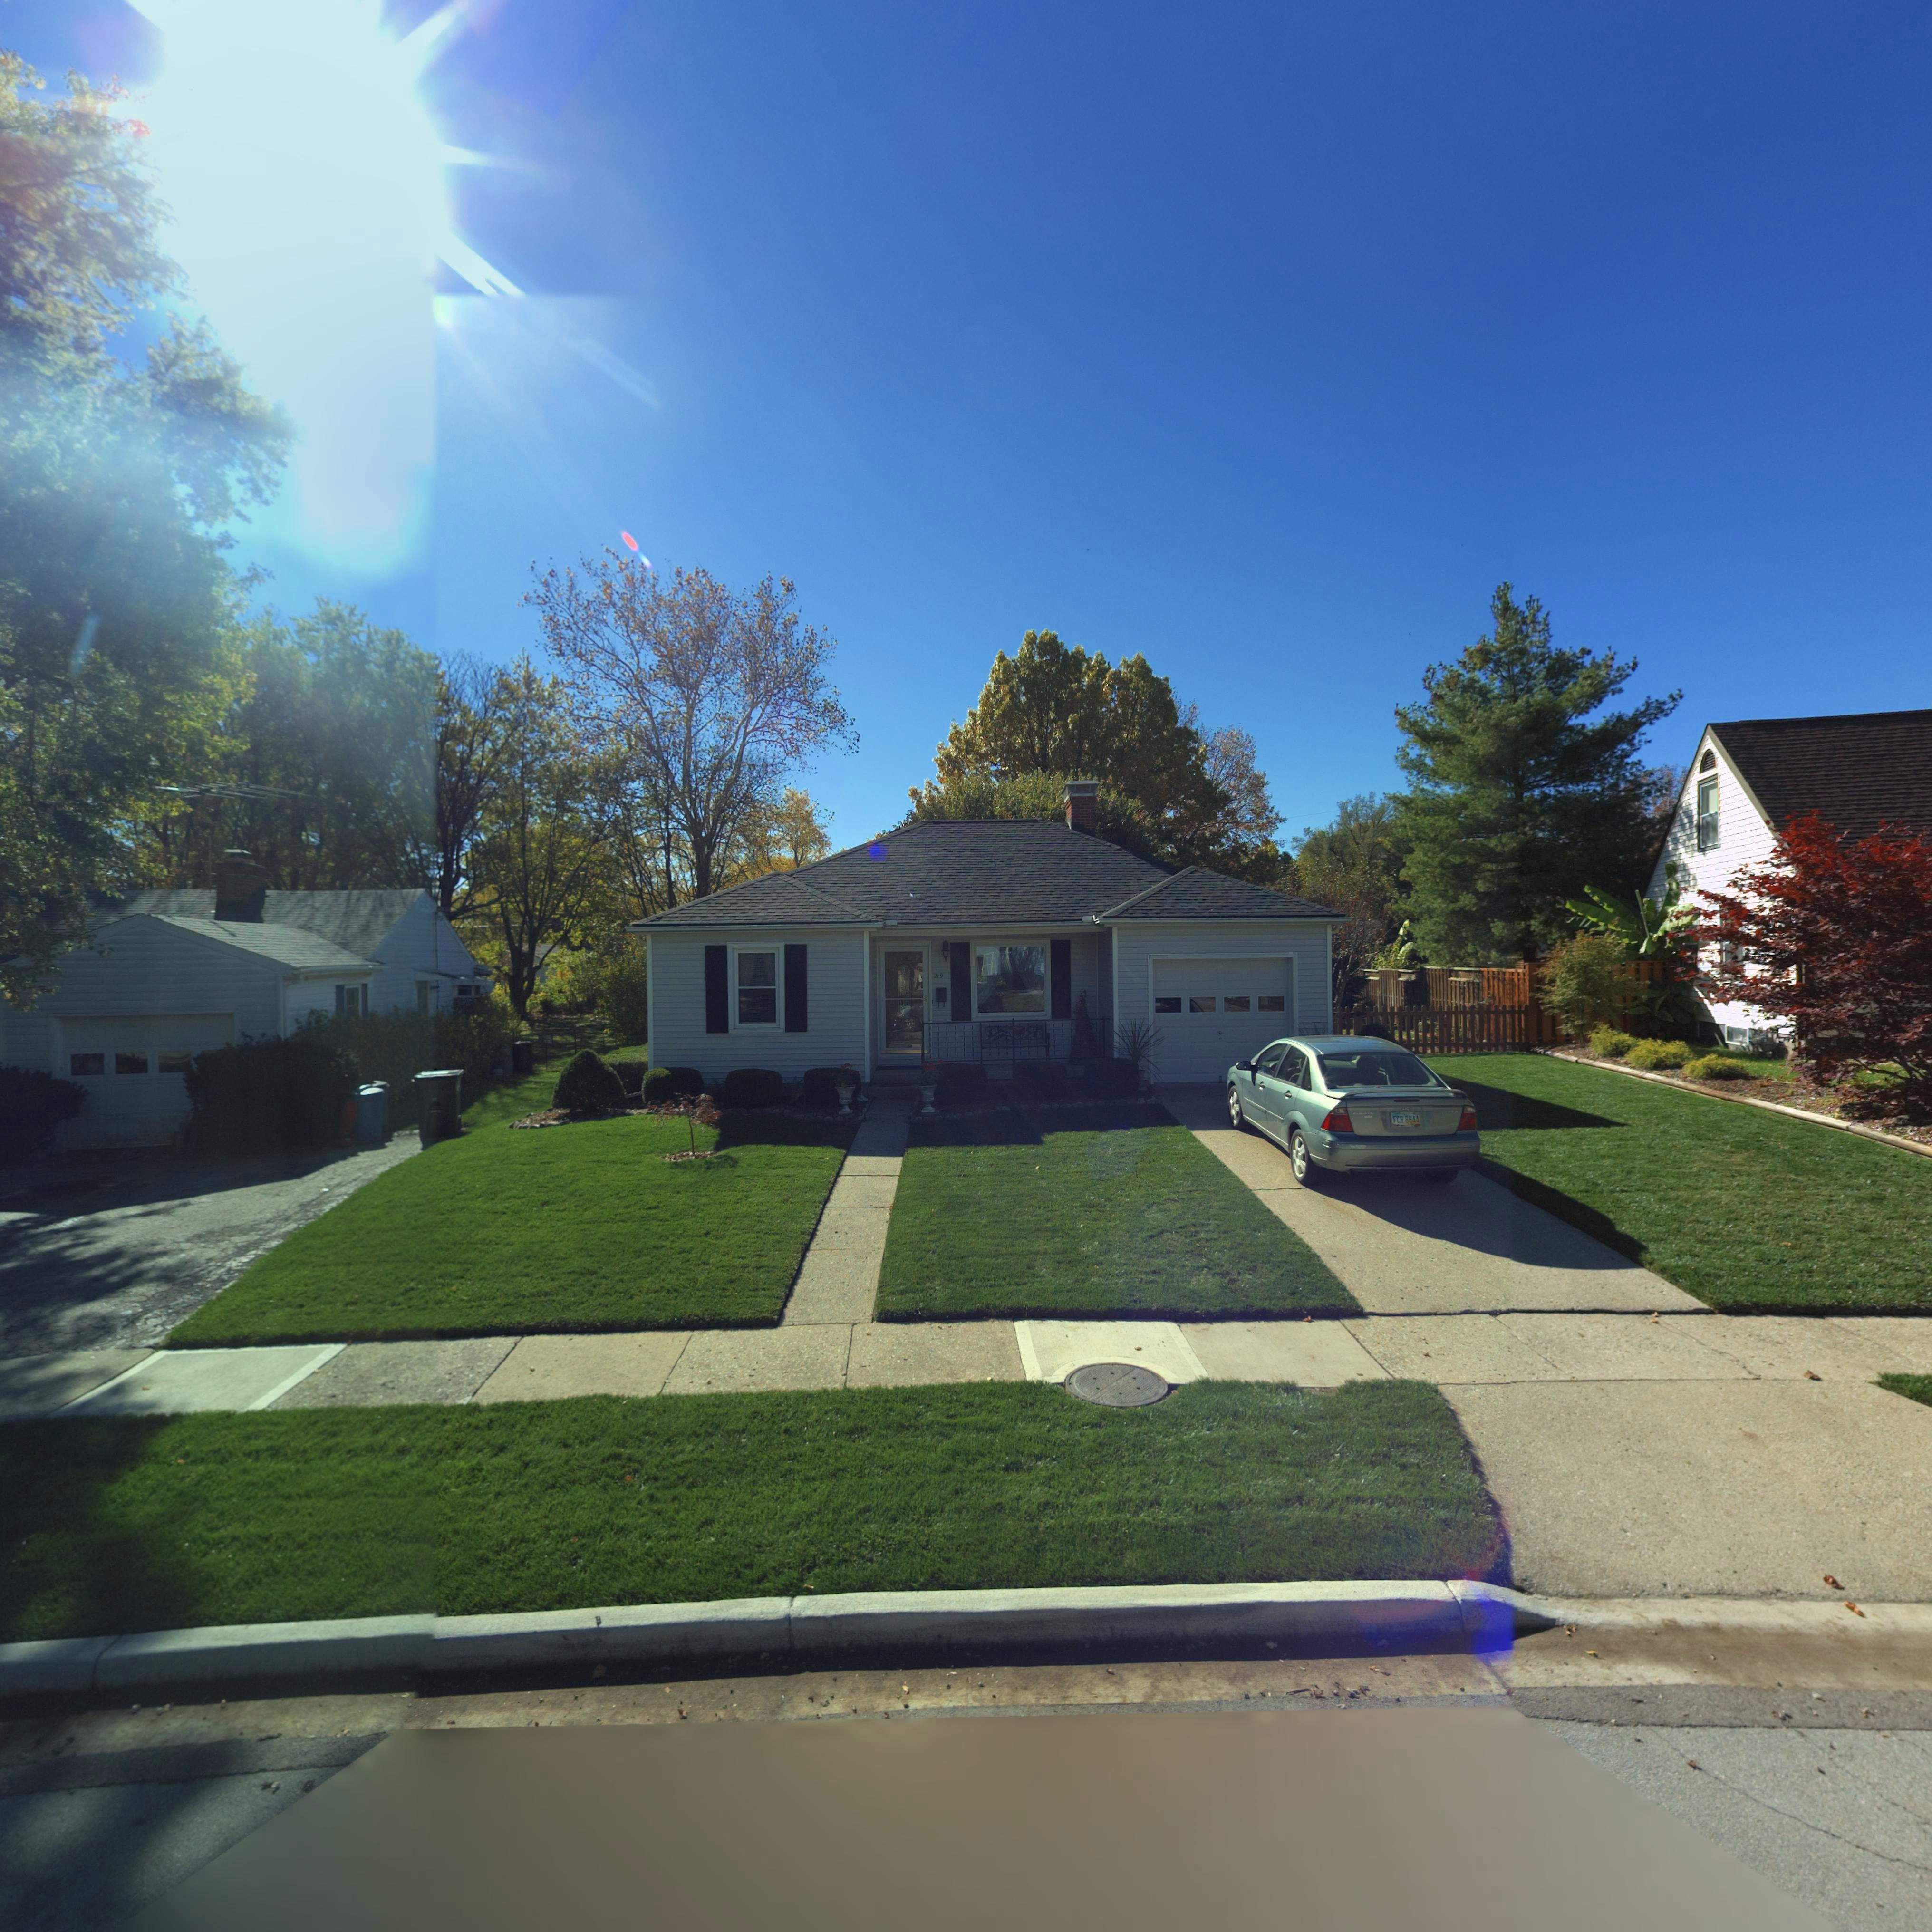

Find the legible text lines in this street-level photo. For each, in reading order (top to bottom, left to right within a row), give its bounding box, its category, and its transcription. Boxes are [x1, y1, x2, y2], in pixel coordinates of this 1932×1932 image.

[933, 973, 944, 979] StreetNumber: 219